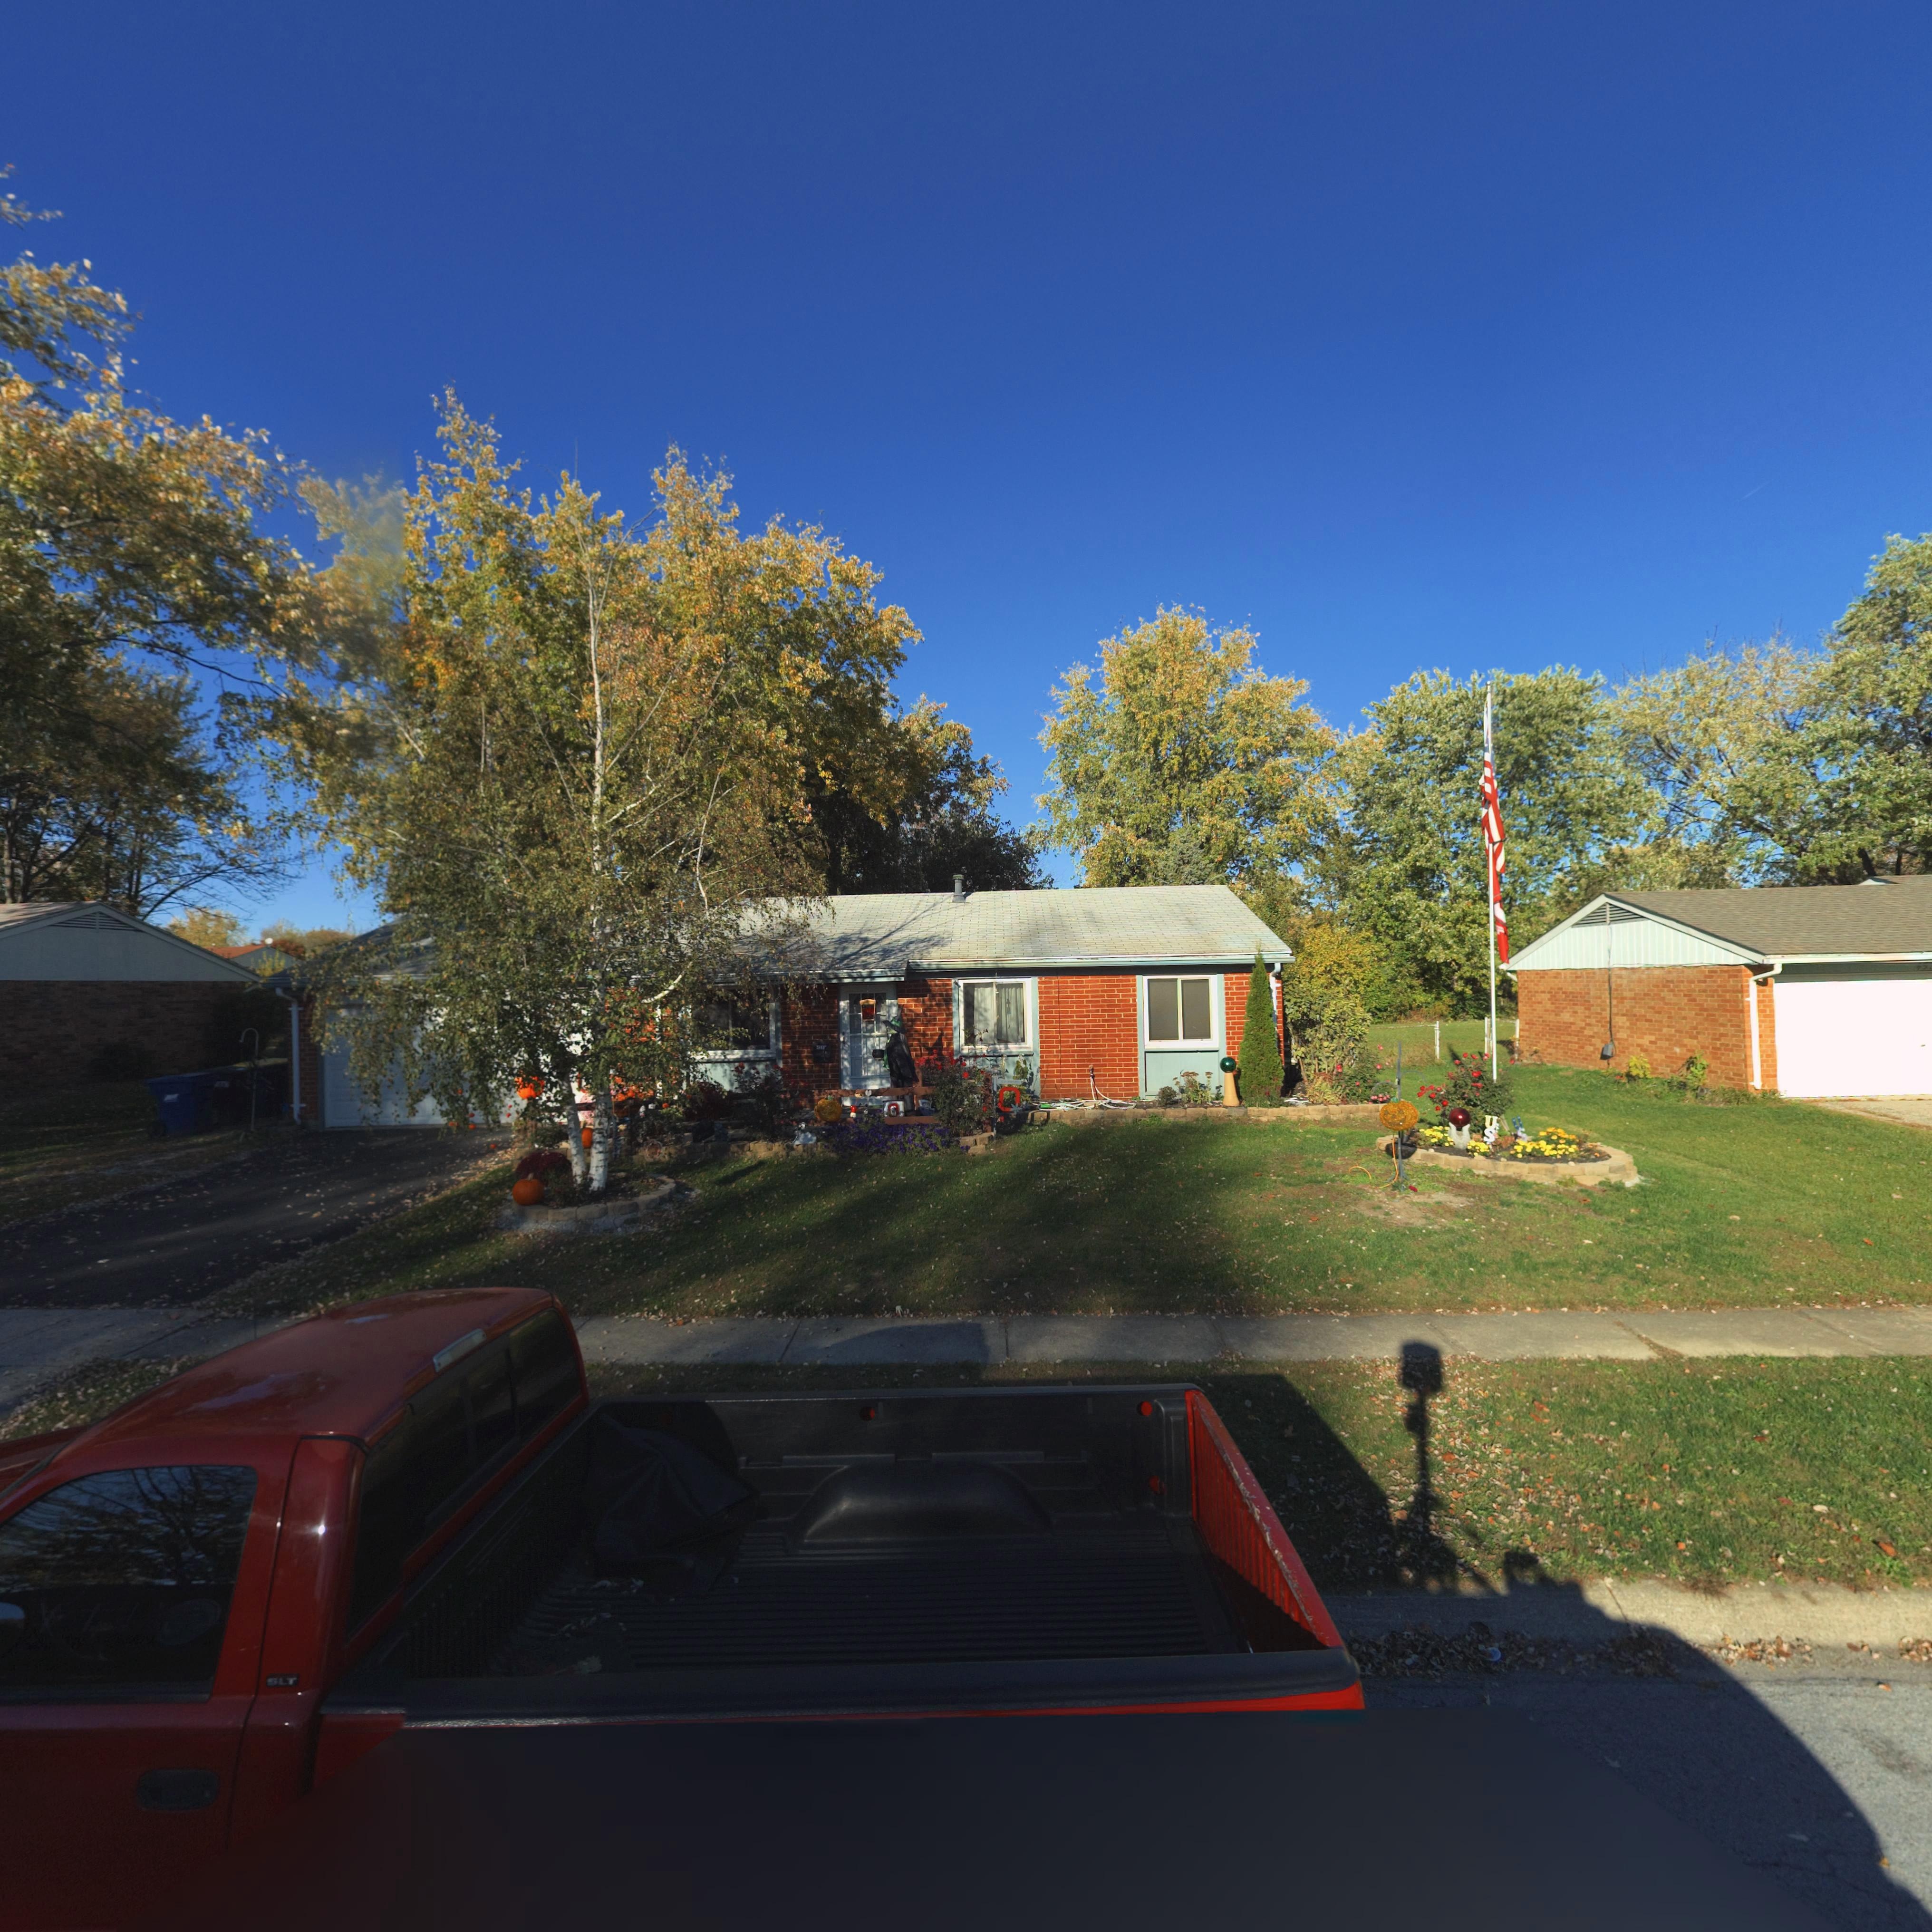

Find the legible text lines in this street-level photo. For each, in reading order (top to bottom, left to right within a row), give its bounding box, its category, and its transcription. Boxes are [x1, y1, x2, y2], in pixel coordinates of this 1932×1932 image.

[1915, 962, 1930, 970] StreetNumber: 45
[816, 1045, 827, 1050] StreetNumber: 43**